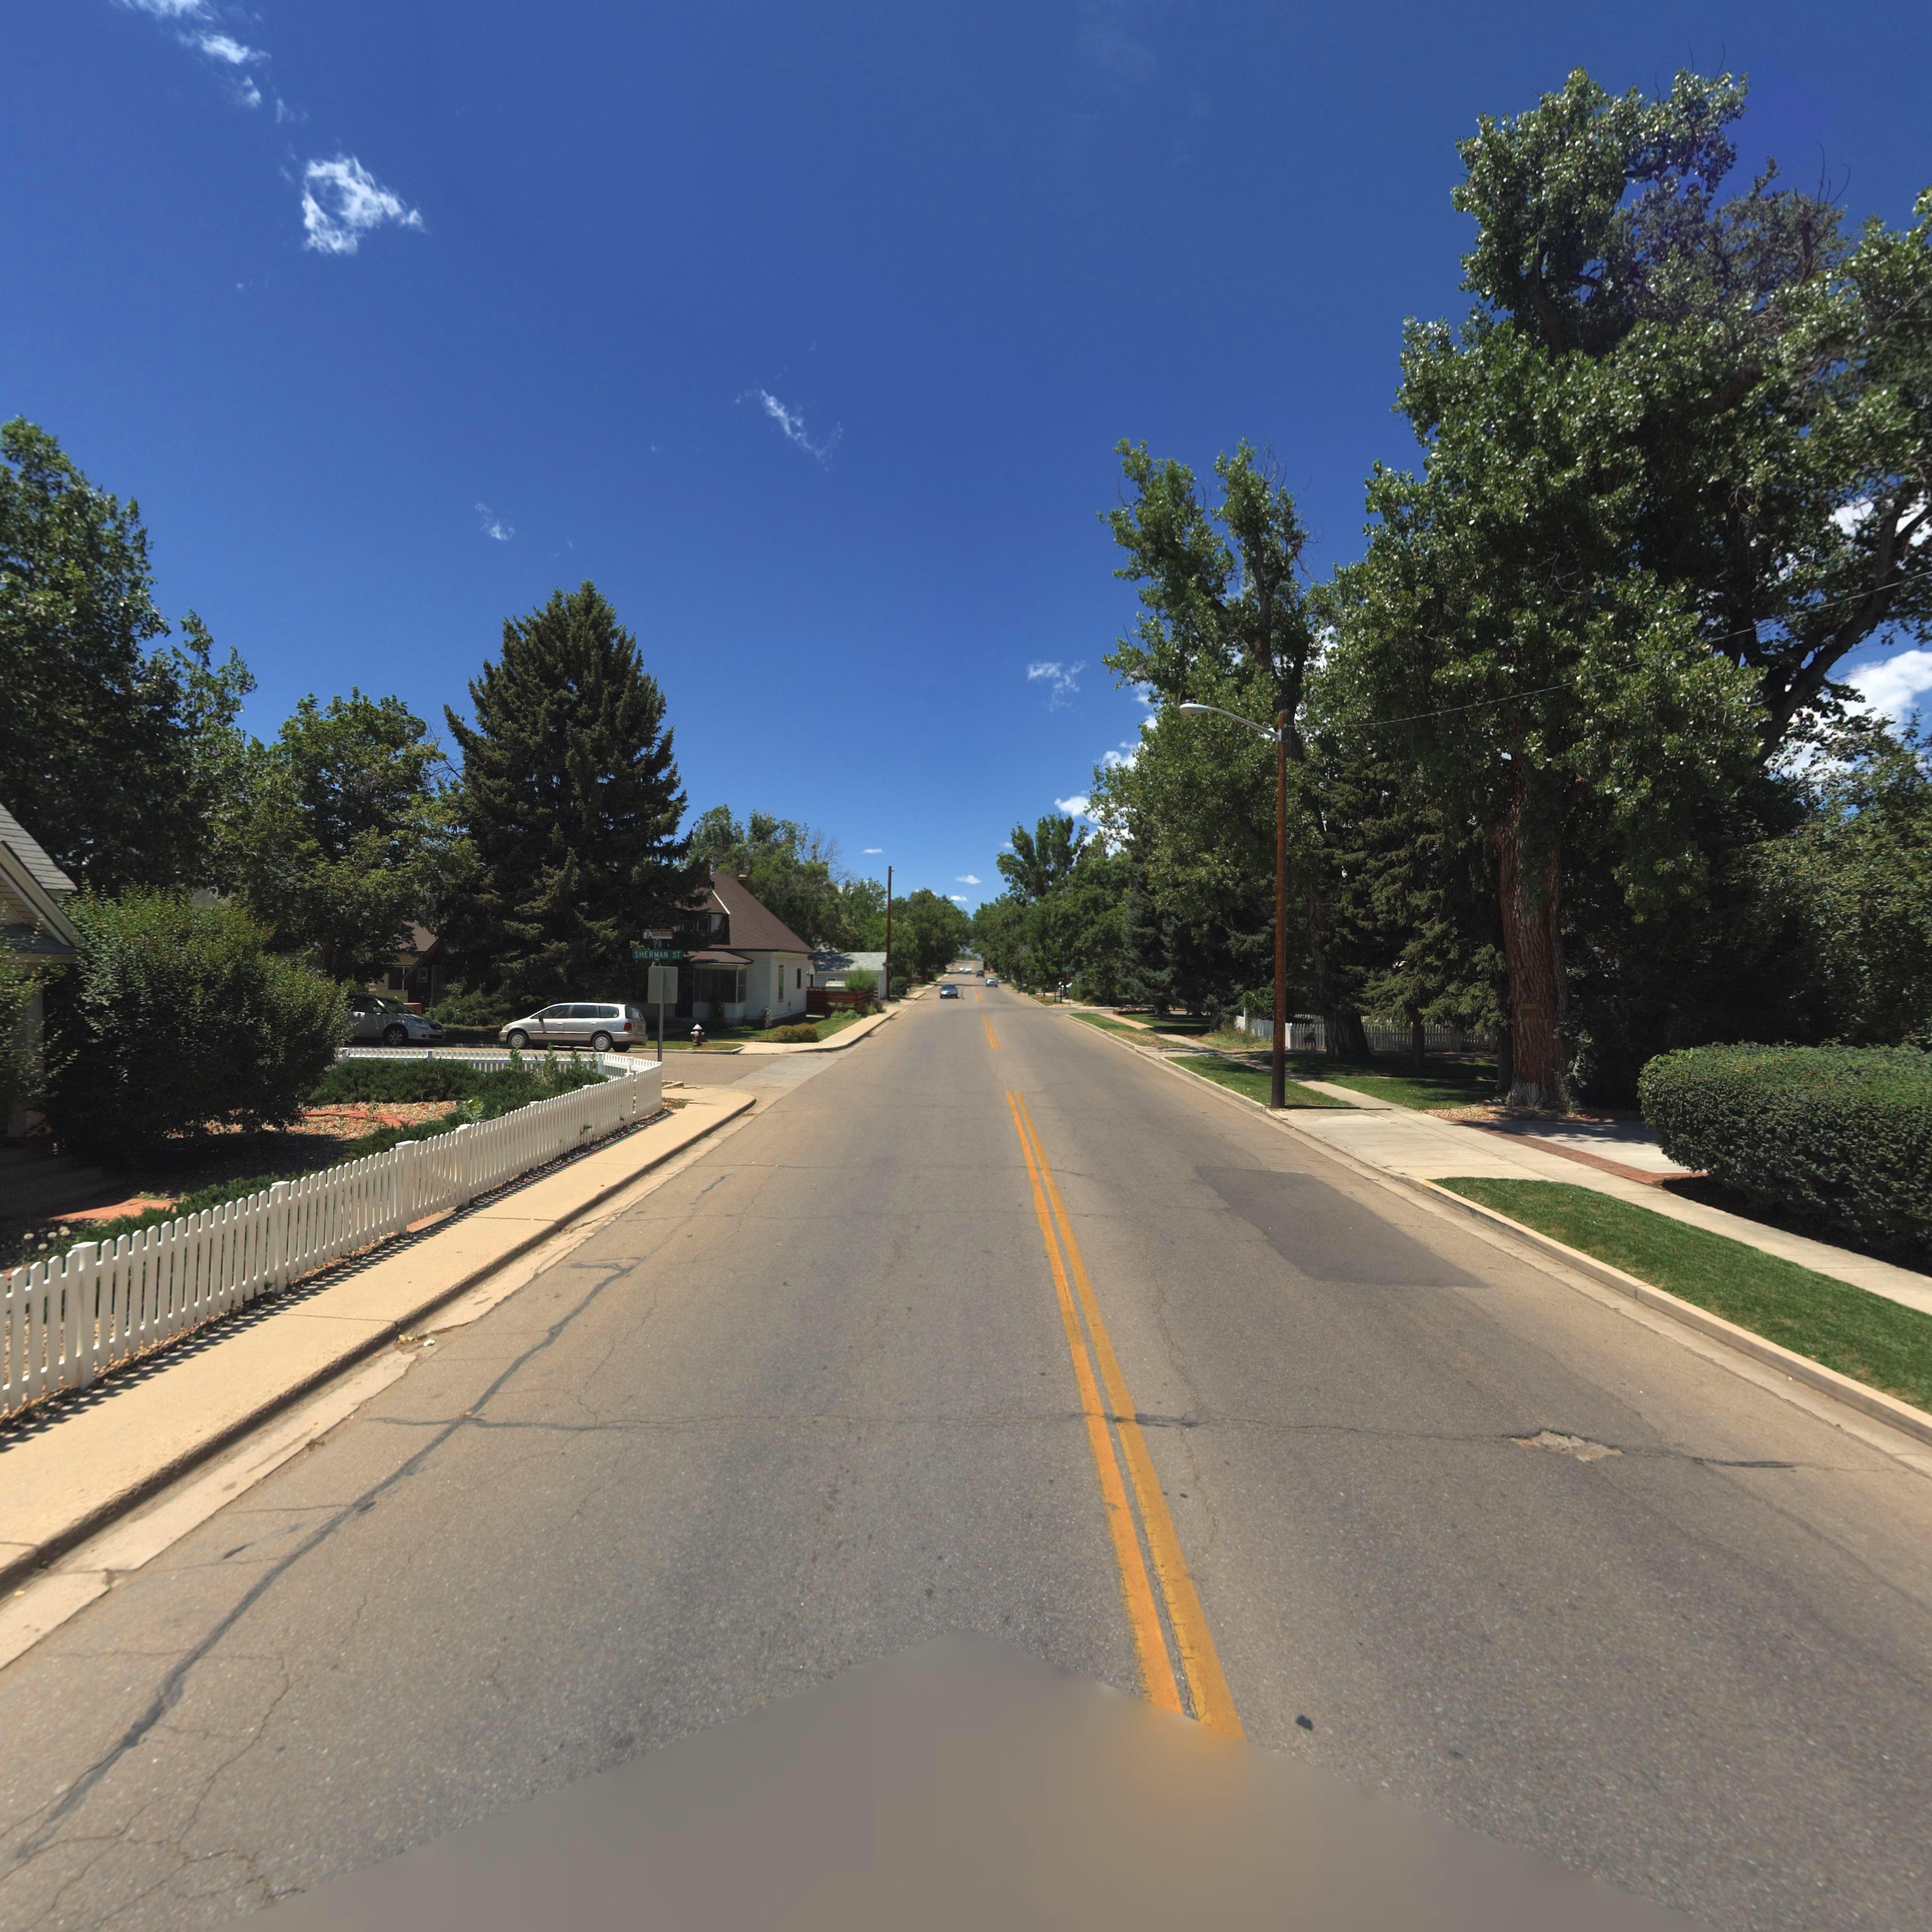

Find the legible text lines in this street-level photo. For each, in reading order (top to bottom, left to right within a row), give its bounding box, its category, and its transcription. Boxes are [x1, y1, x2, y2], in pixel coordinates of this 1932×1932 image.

[653, 940, 661, 948] StreetName: 3** A*
[634, 951, 680, 958] StreetName: SHERMAN ST
[1304, 1038, 1313, 1042] StreetNumber: 13*4